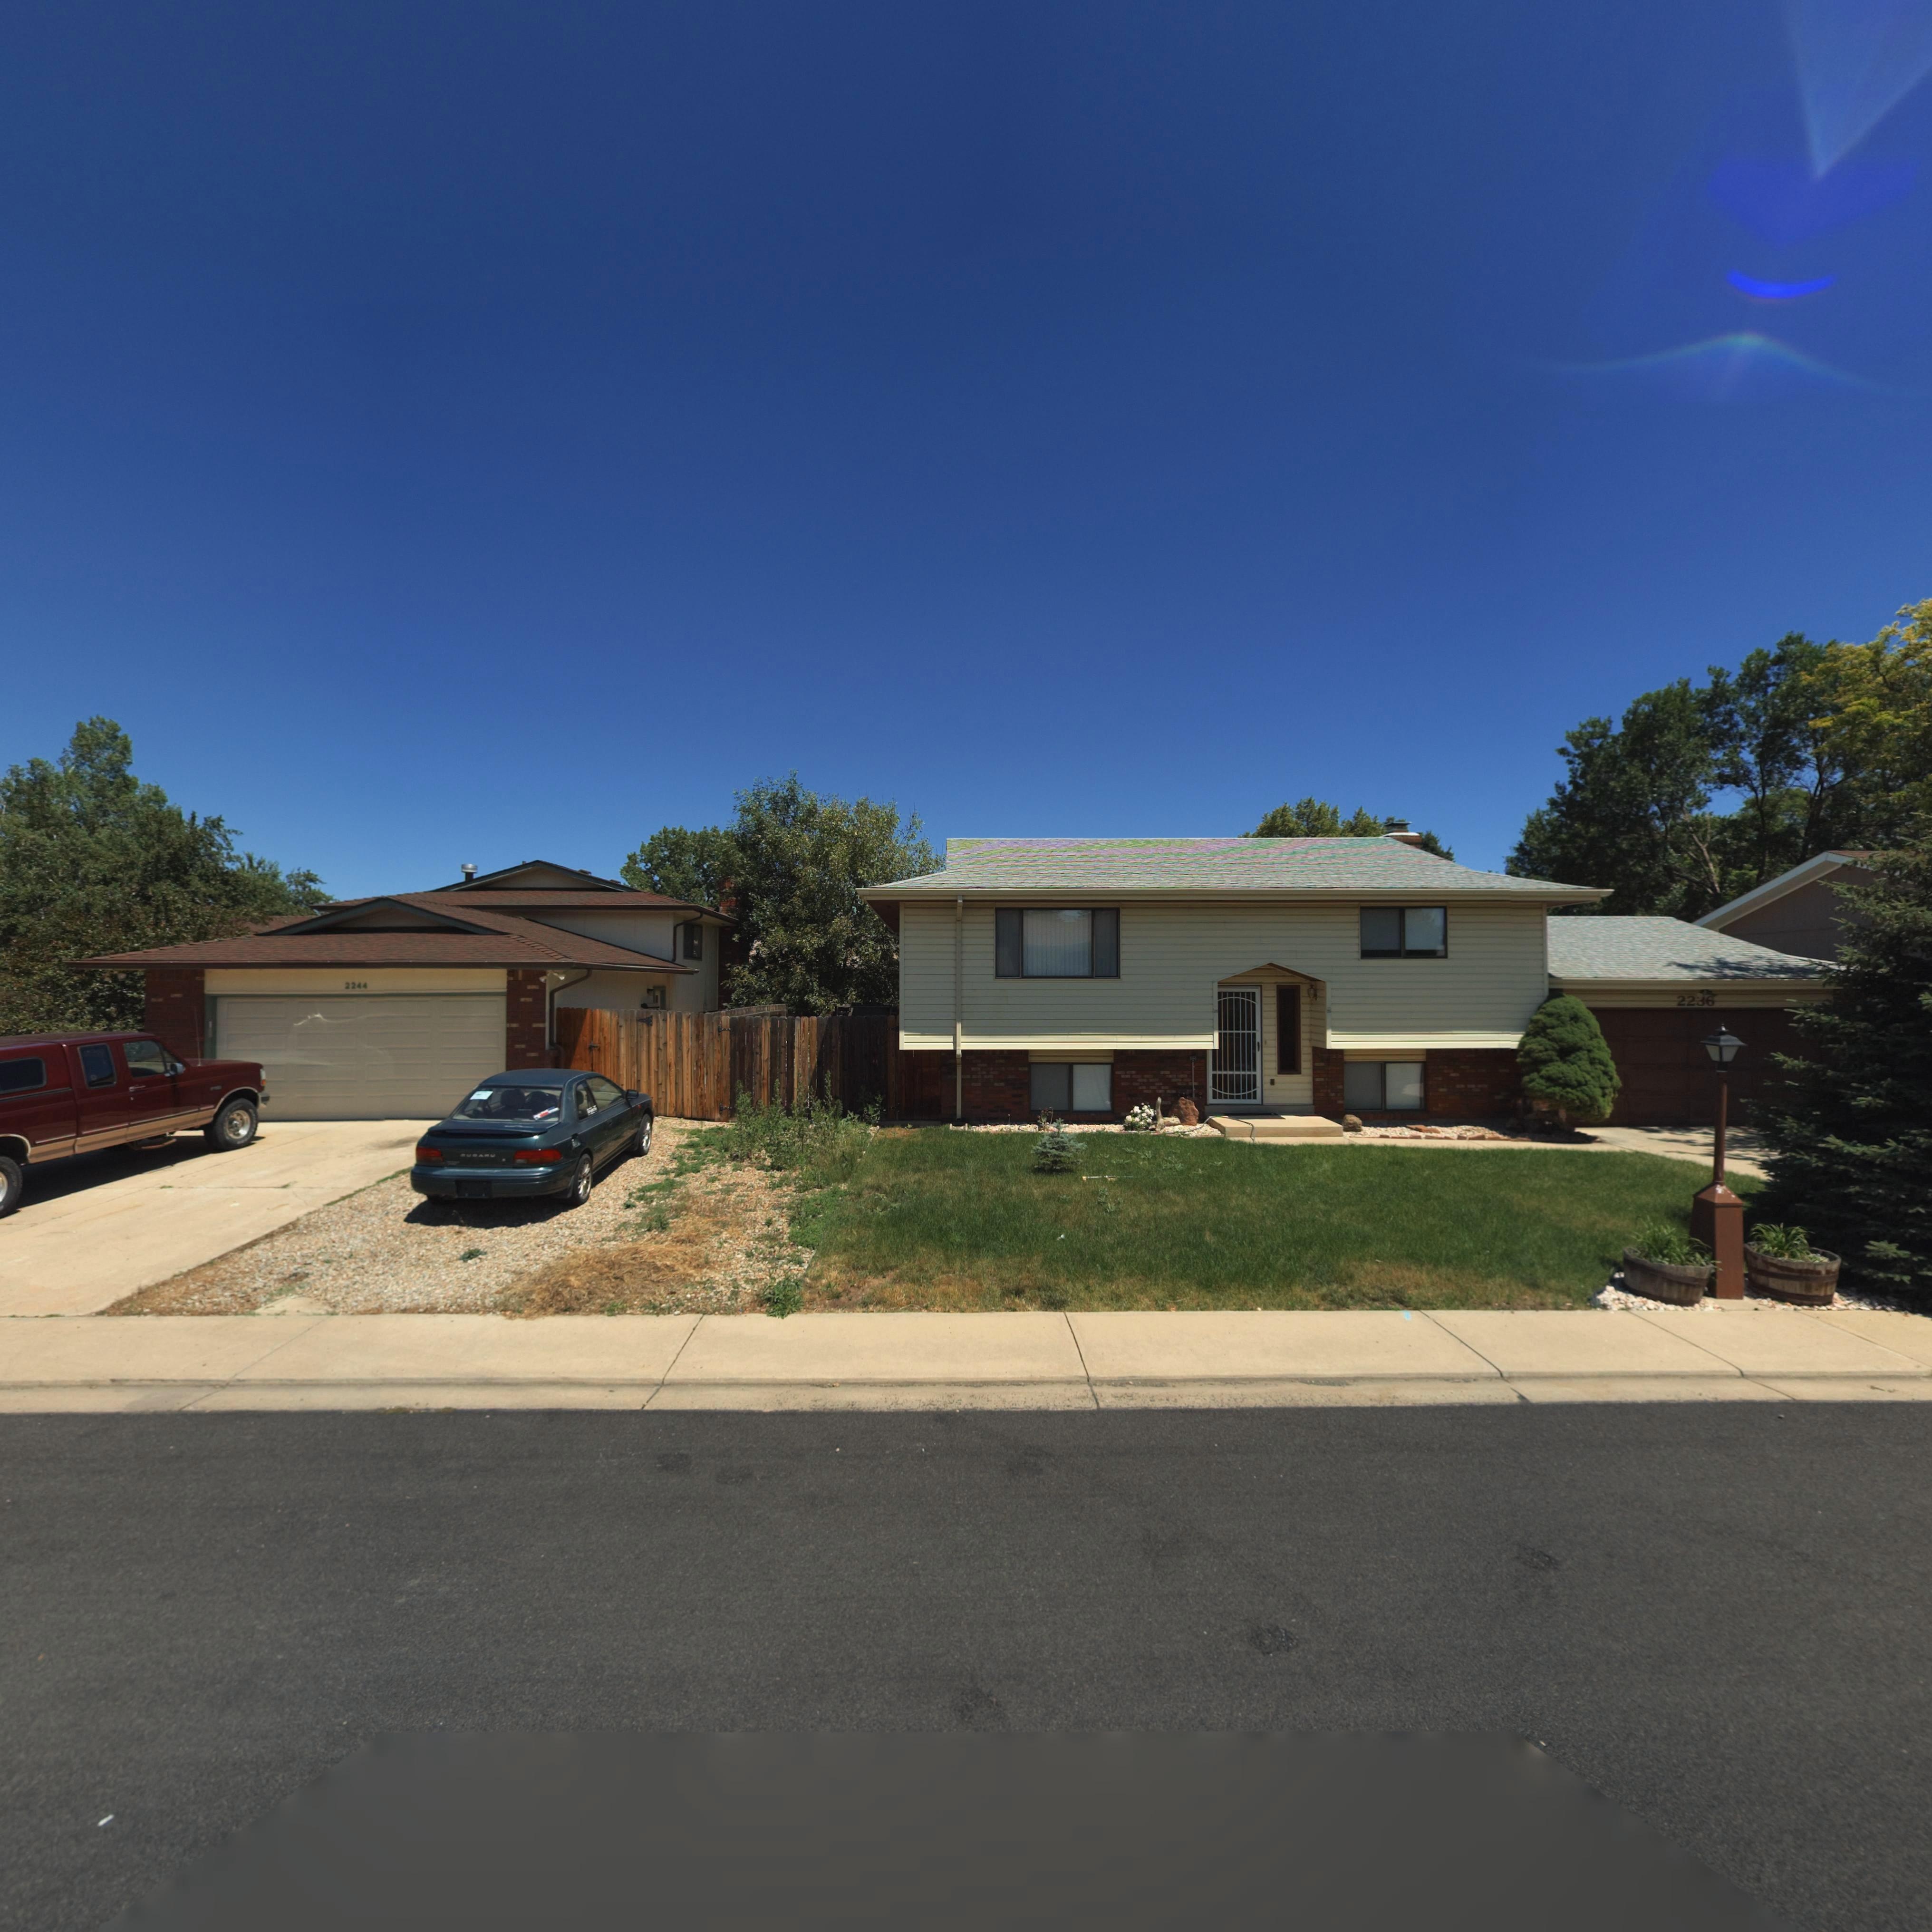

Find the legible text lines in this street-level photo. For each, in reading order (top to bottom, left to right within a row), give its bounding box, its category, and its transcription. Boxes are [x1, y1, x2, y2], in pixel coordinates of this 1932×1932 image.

[341, 980, 369, 990] StreetNumber: 2244
[1674, 994, 1717, 1007] StreetNumber: 2236